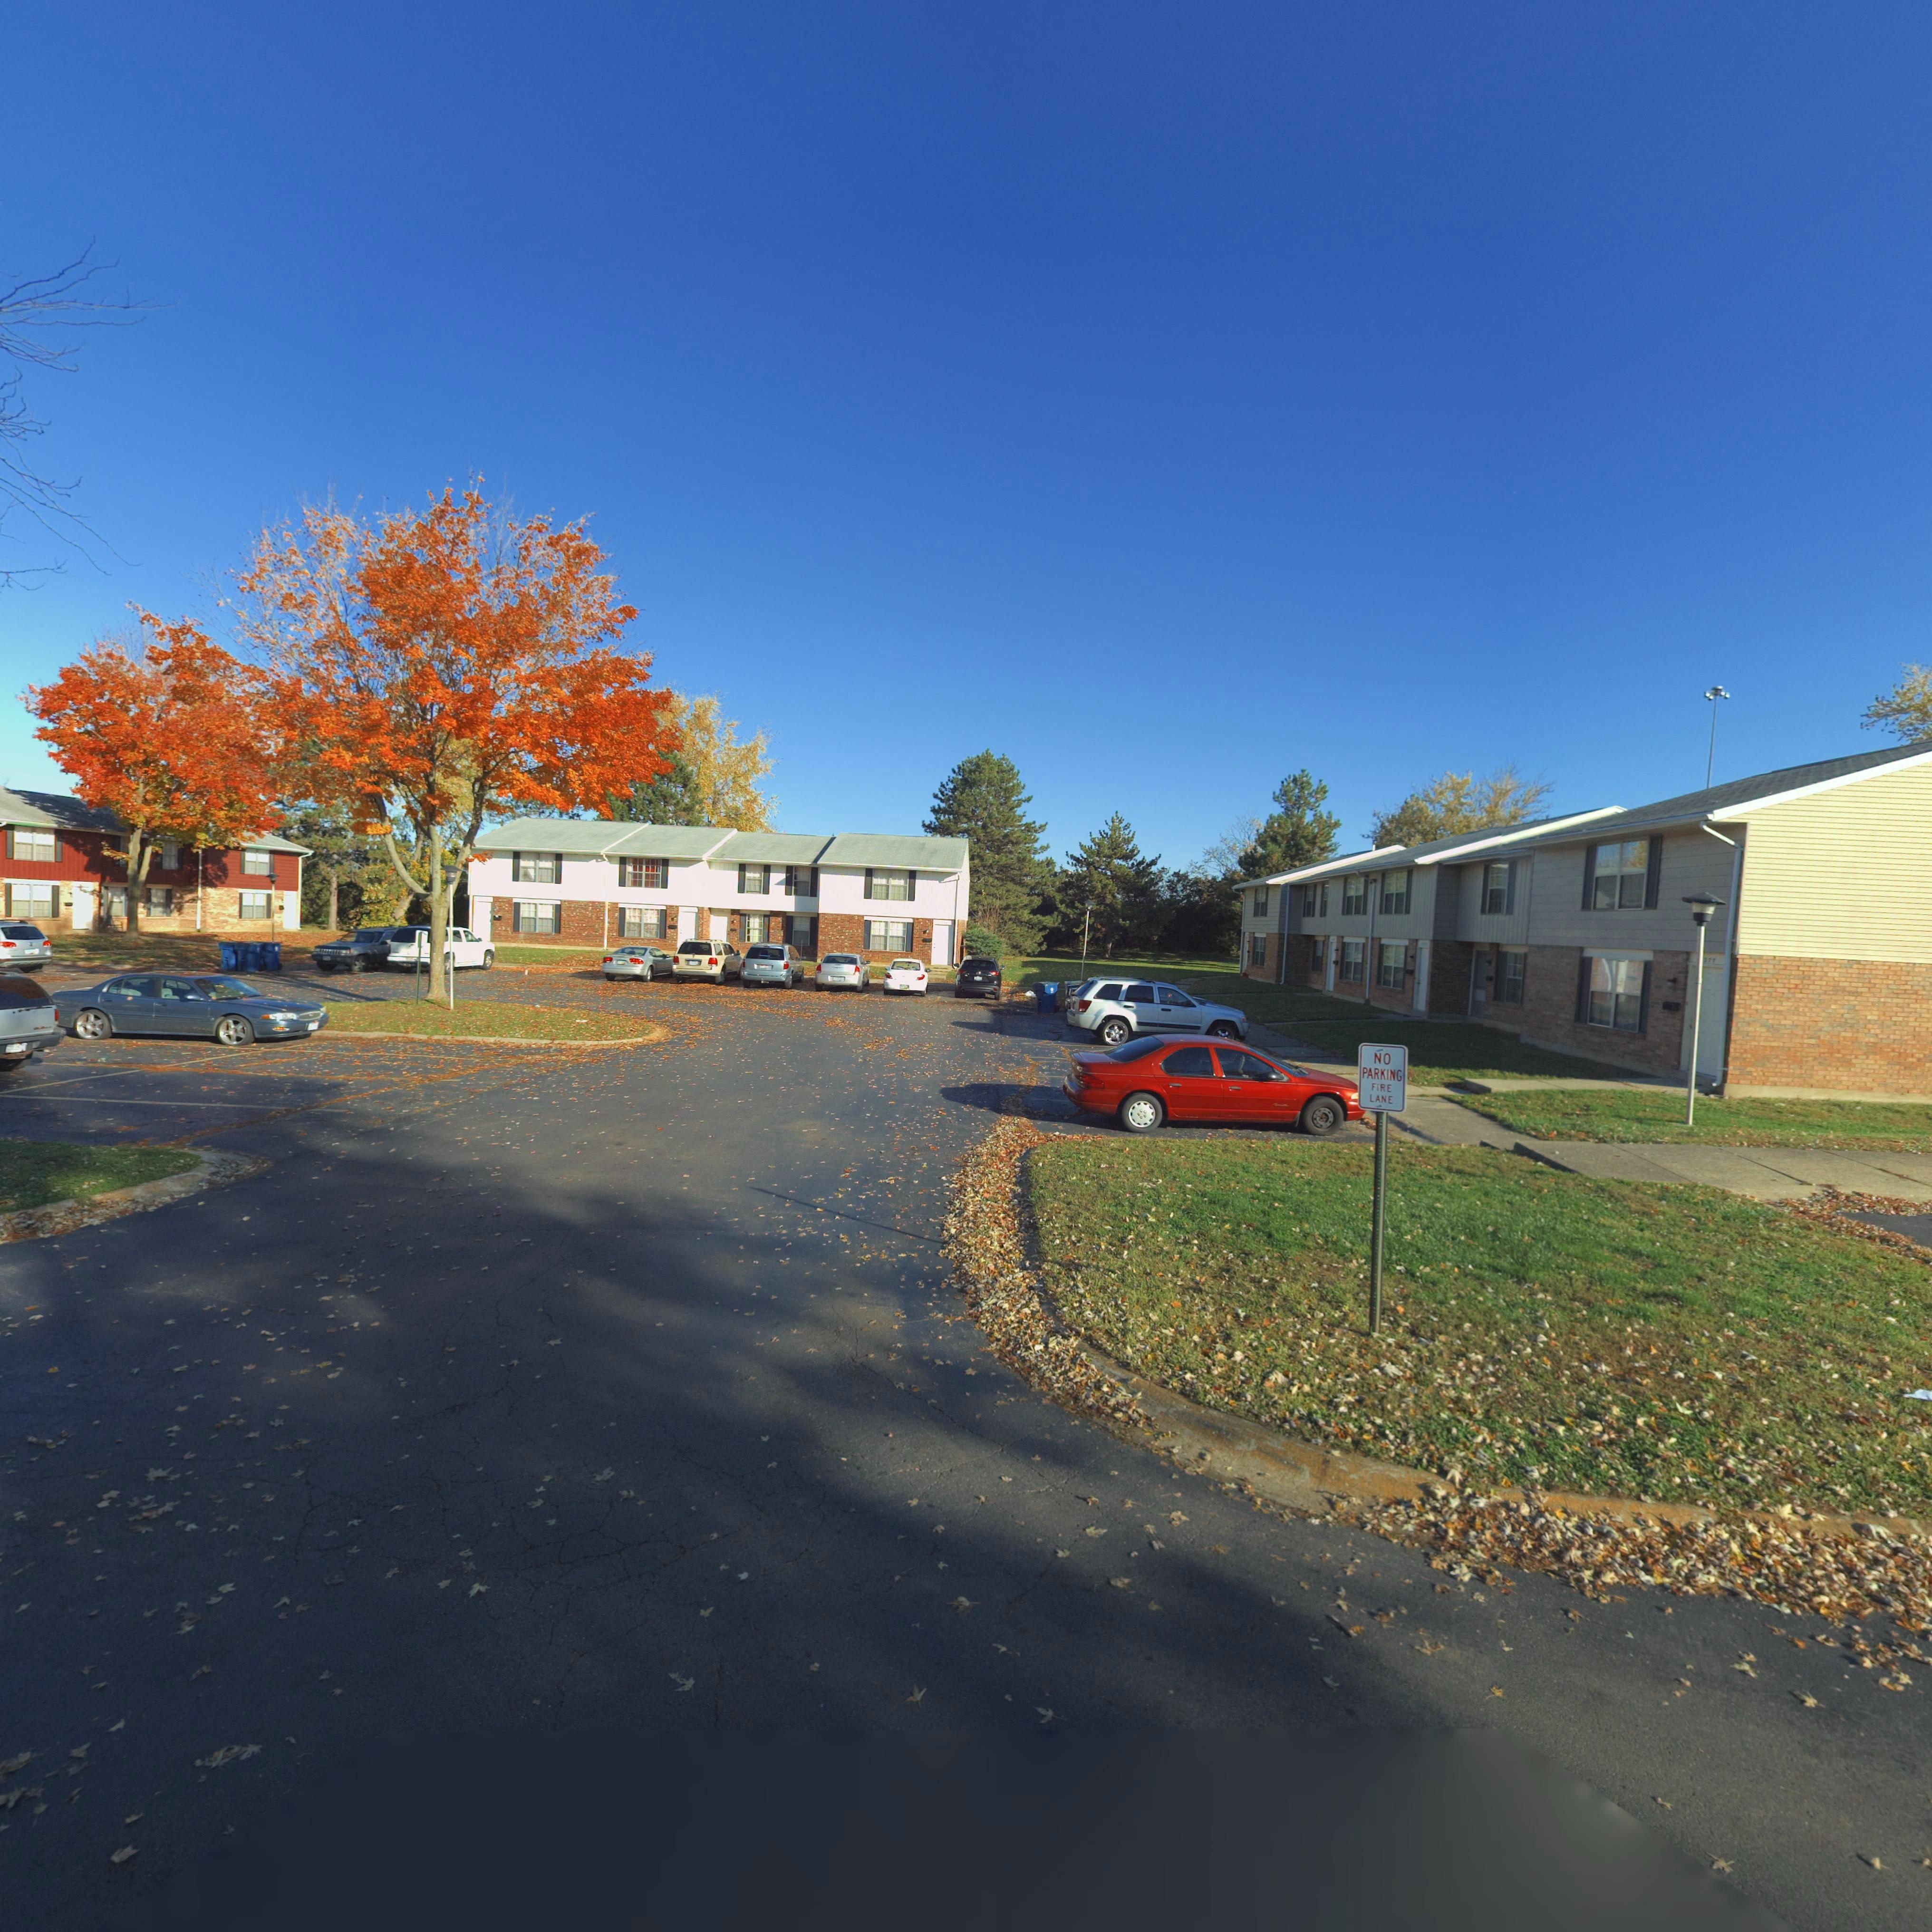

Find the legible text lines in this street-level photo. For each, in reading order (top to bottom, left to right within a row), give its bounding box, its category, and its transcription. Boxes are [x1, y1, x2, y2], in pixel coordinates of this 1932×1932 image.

[1703, 957, 1716, 963] StreetNumber: 277